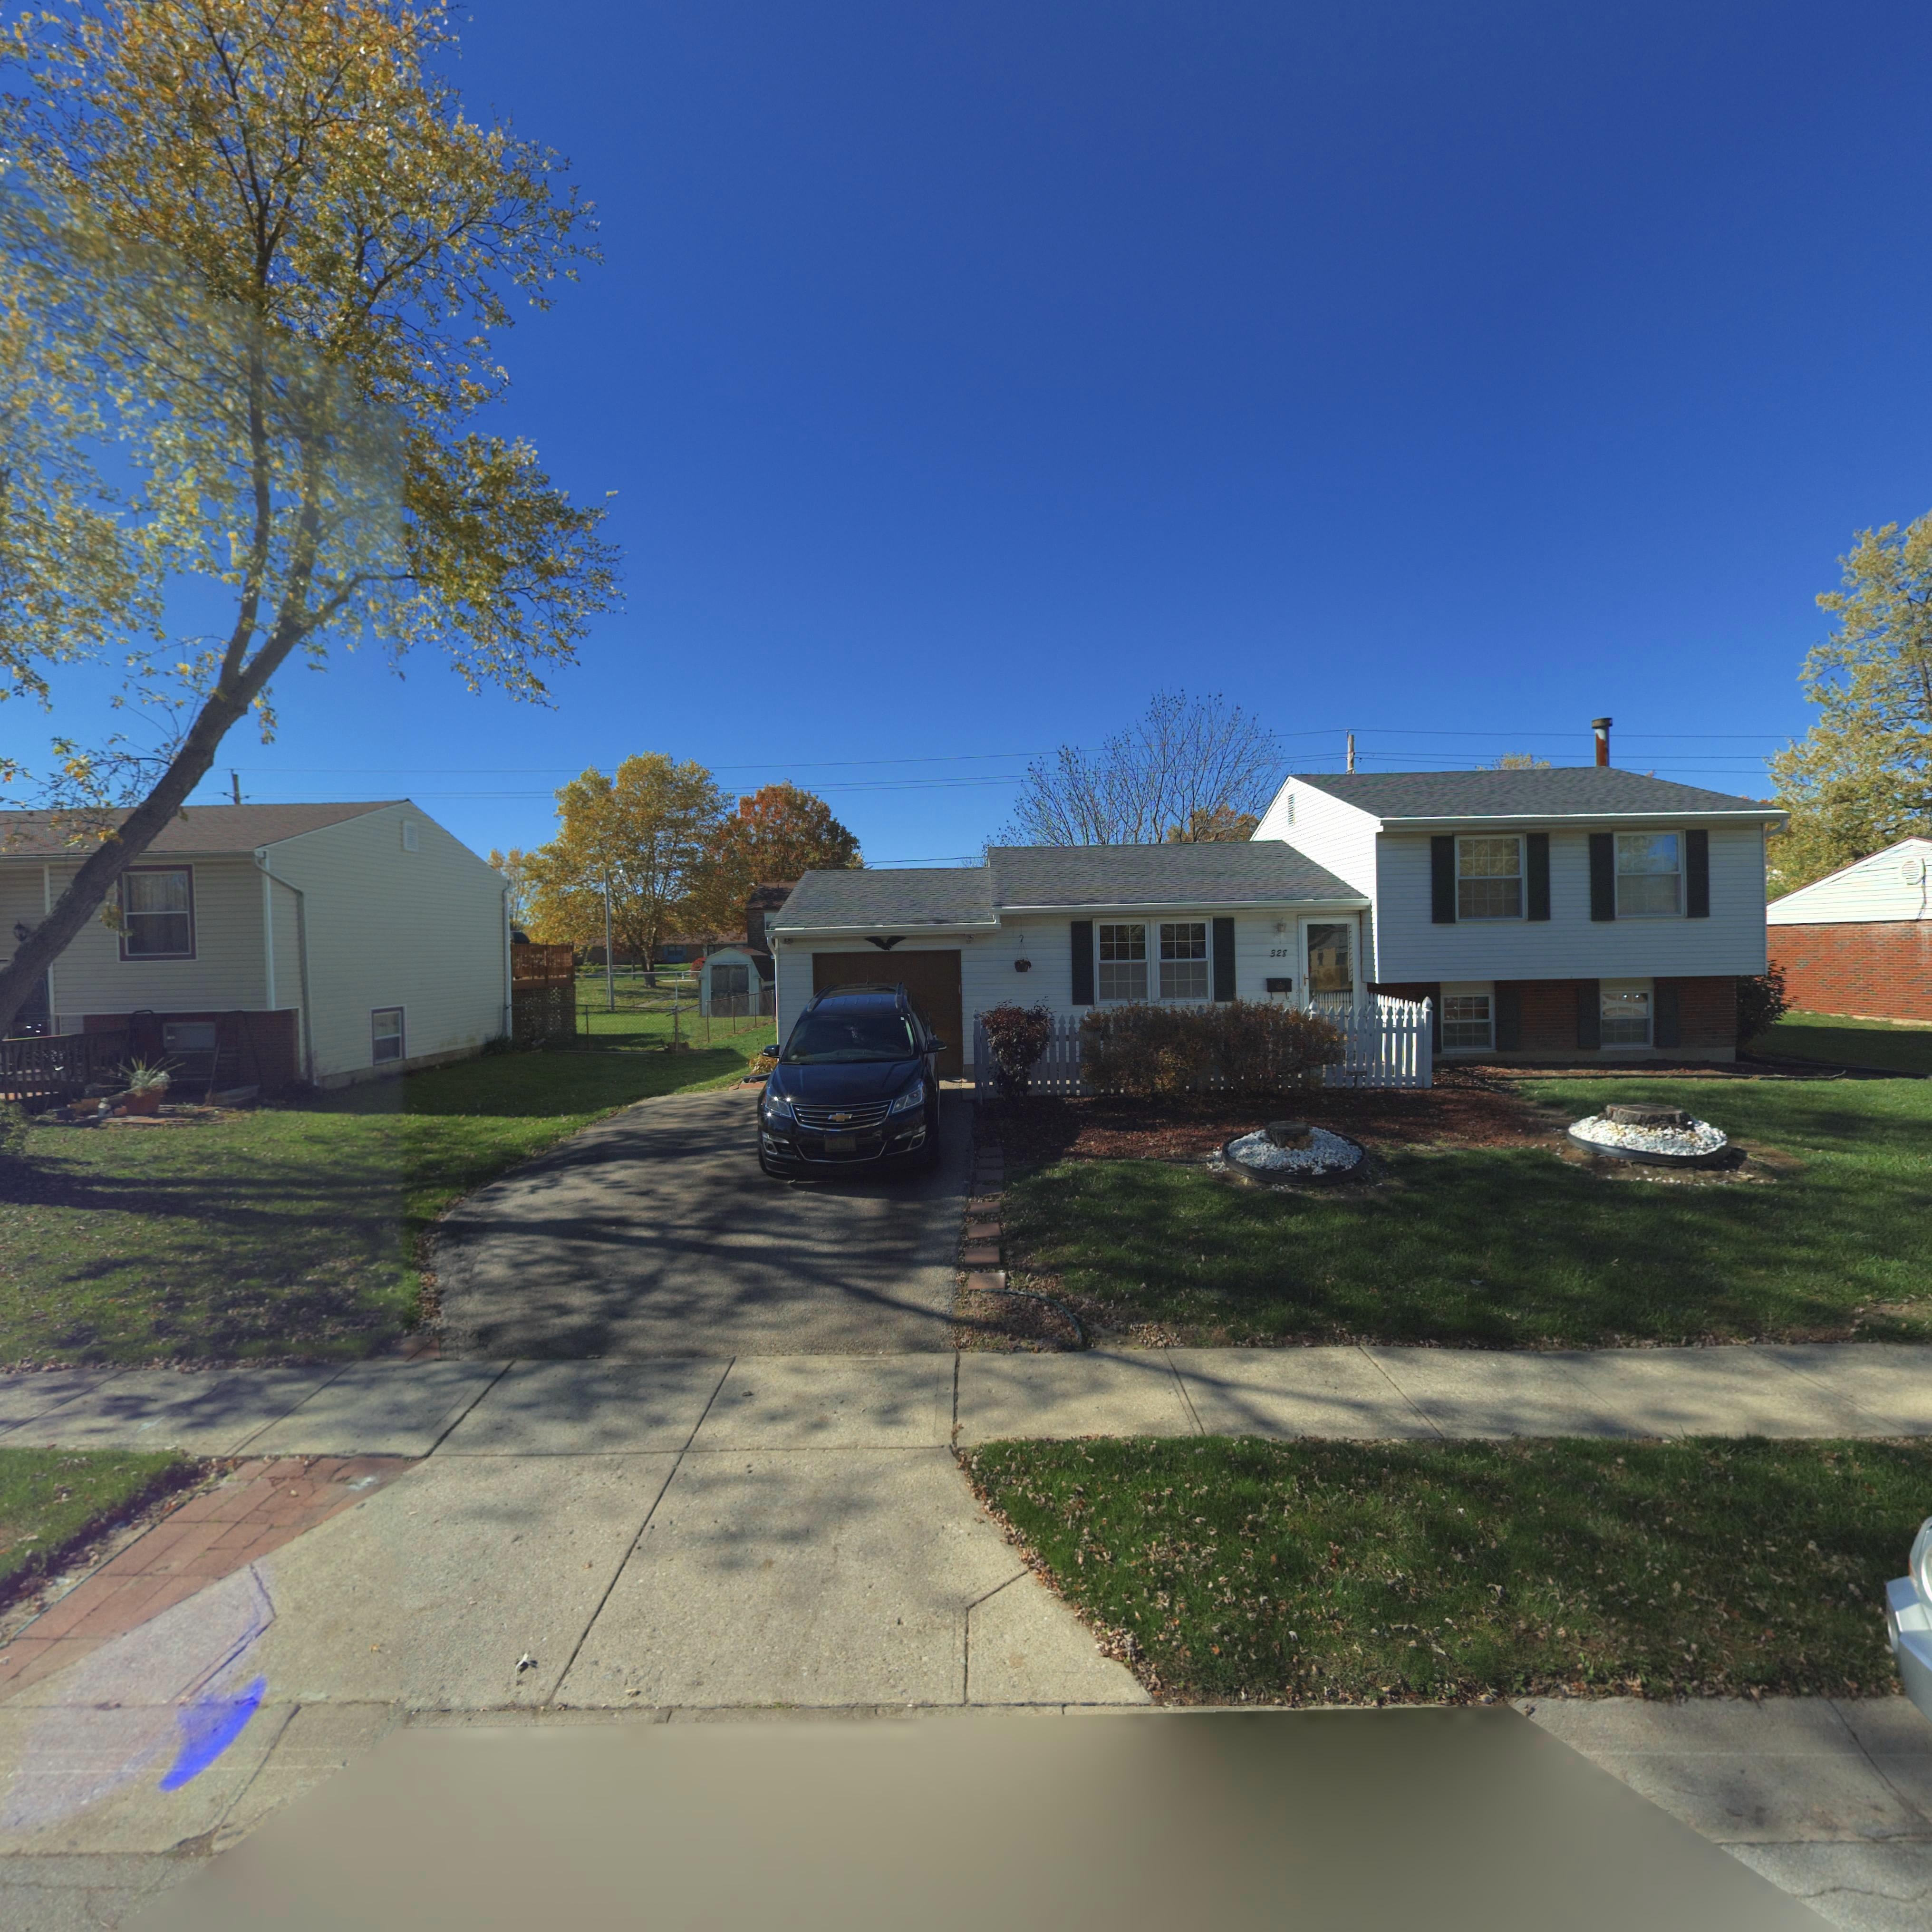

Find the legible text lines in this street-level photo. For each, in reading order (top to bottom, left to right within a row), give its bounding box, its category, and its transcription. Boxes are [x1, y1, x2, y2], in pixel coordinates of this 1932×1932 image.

[1269, 948, 1289, 958] StreetNumber: 328